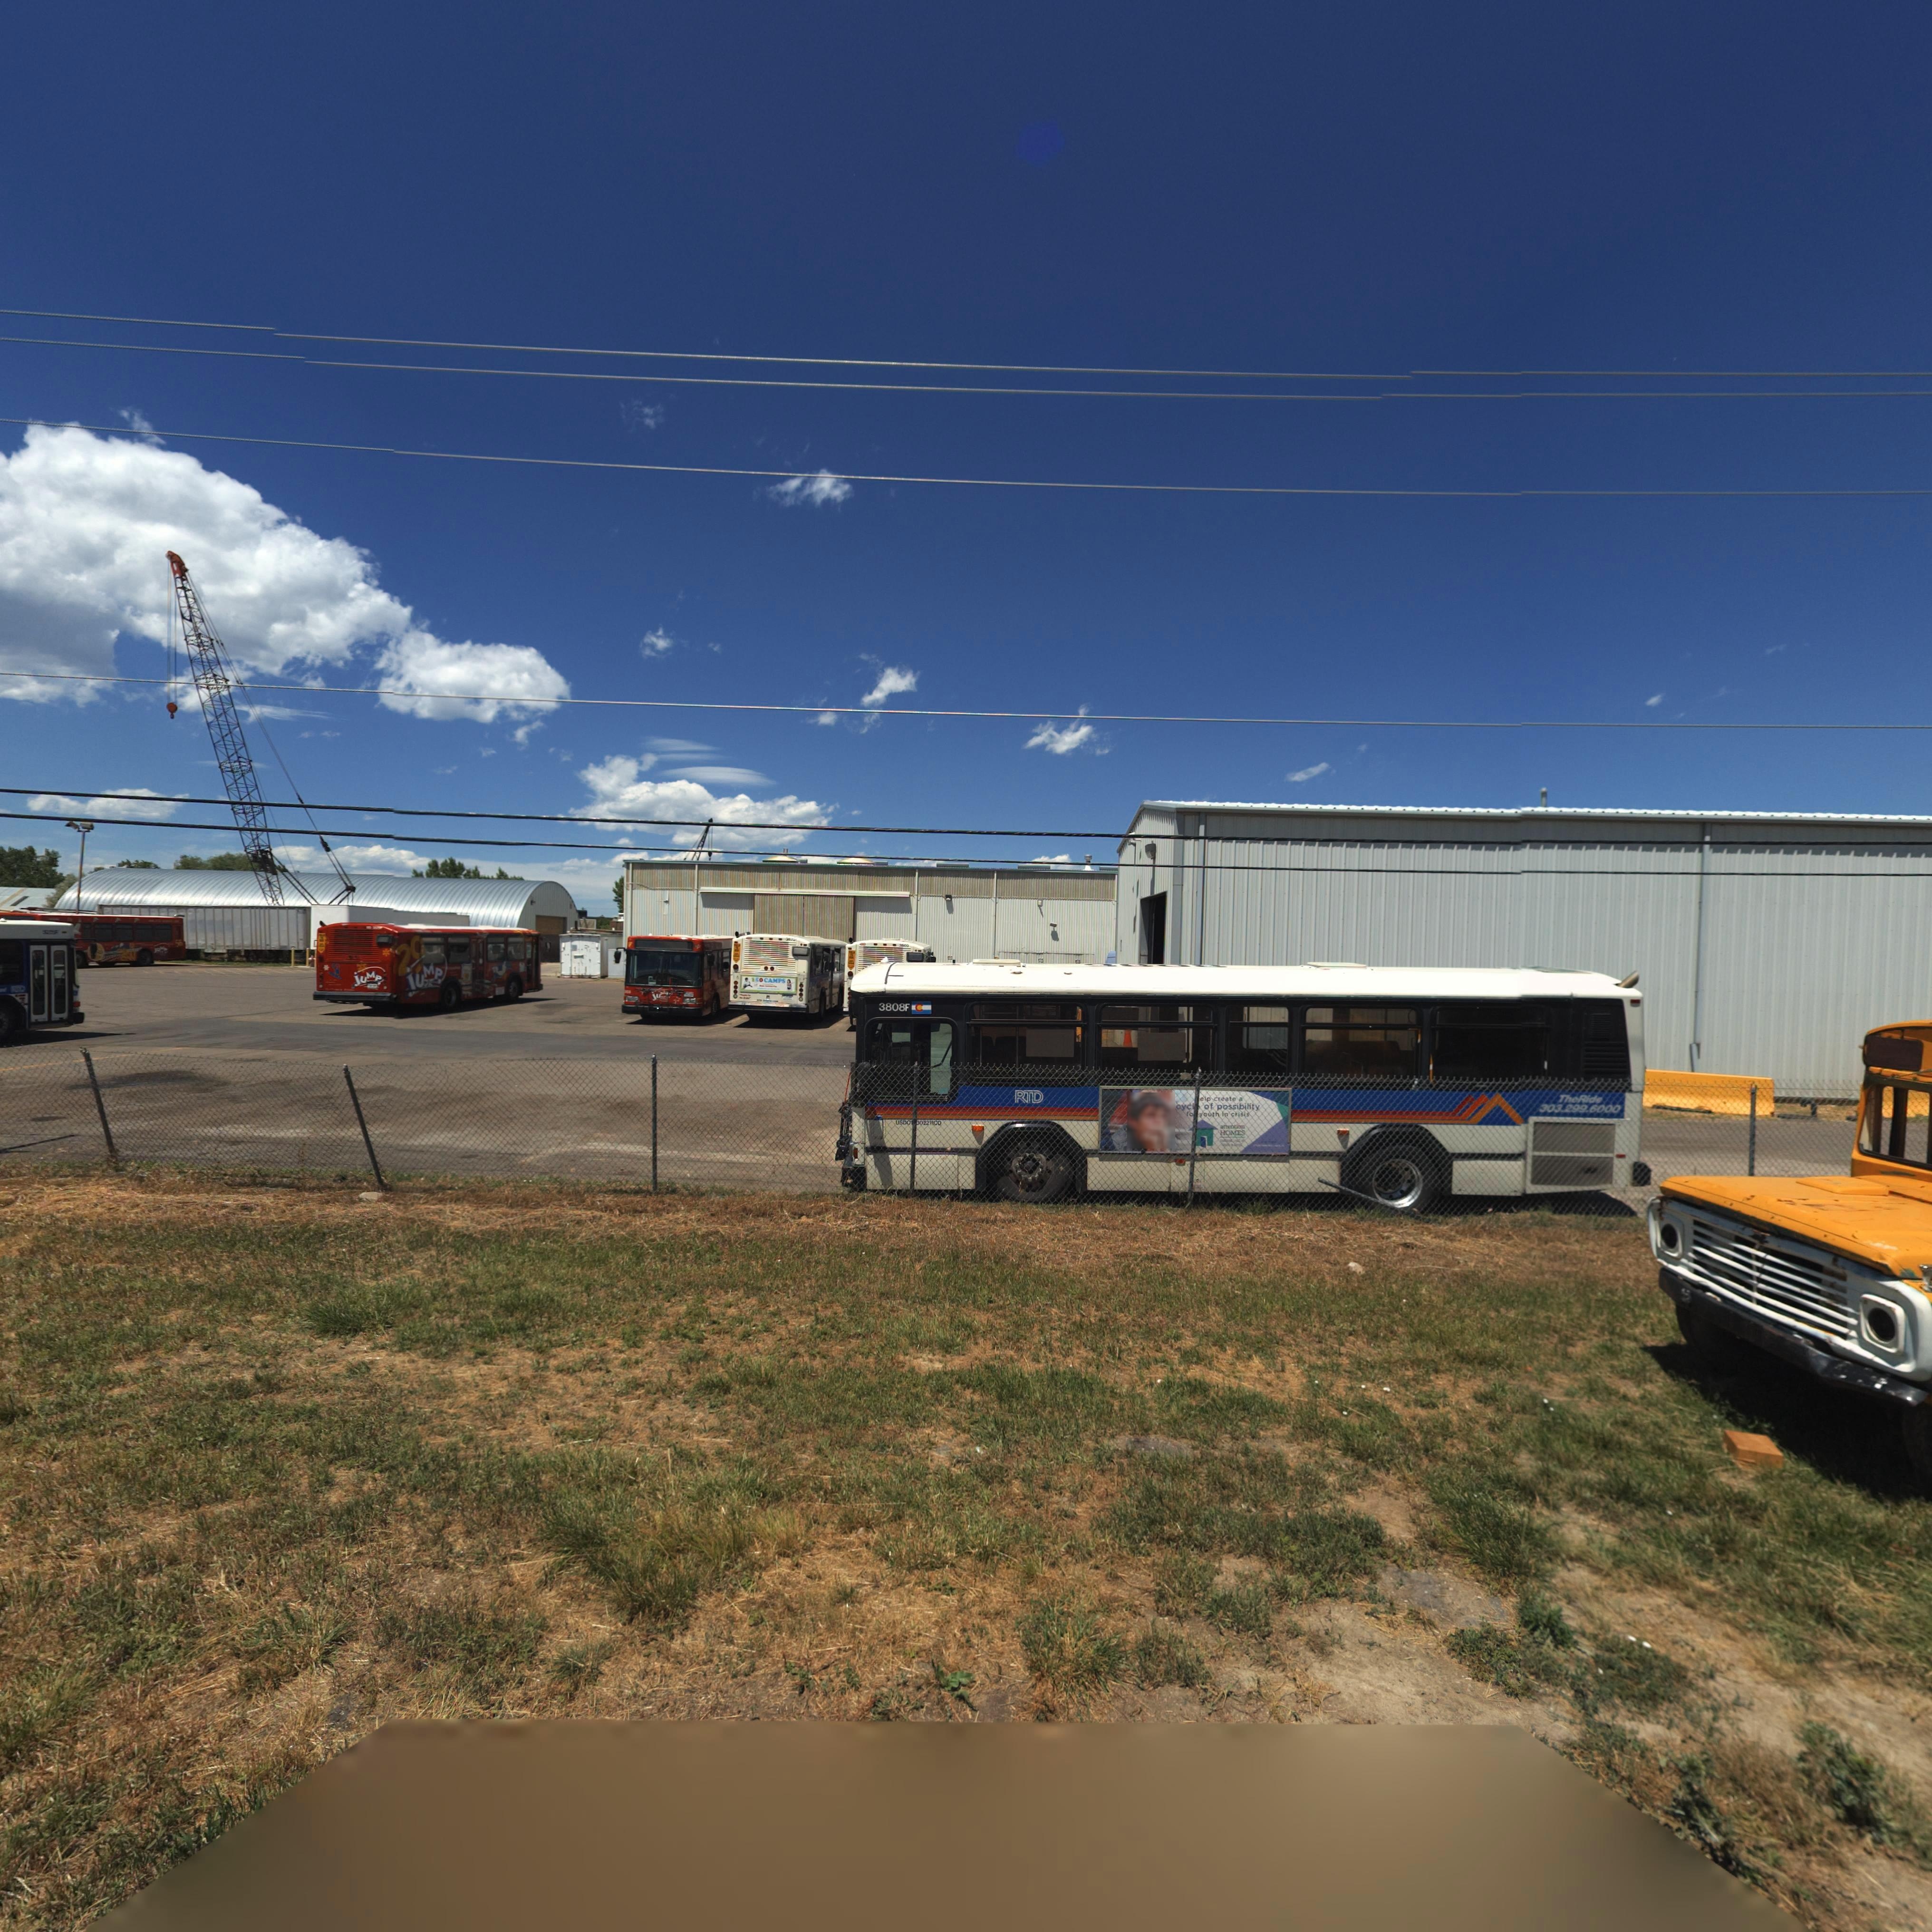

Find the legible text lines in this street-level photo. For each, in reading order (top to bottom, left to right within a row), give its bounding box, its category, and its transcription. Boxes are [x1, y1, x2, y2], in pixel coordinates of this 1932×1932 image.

[896, 1120, 944, 1129] PhoneNumber: 050 0409